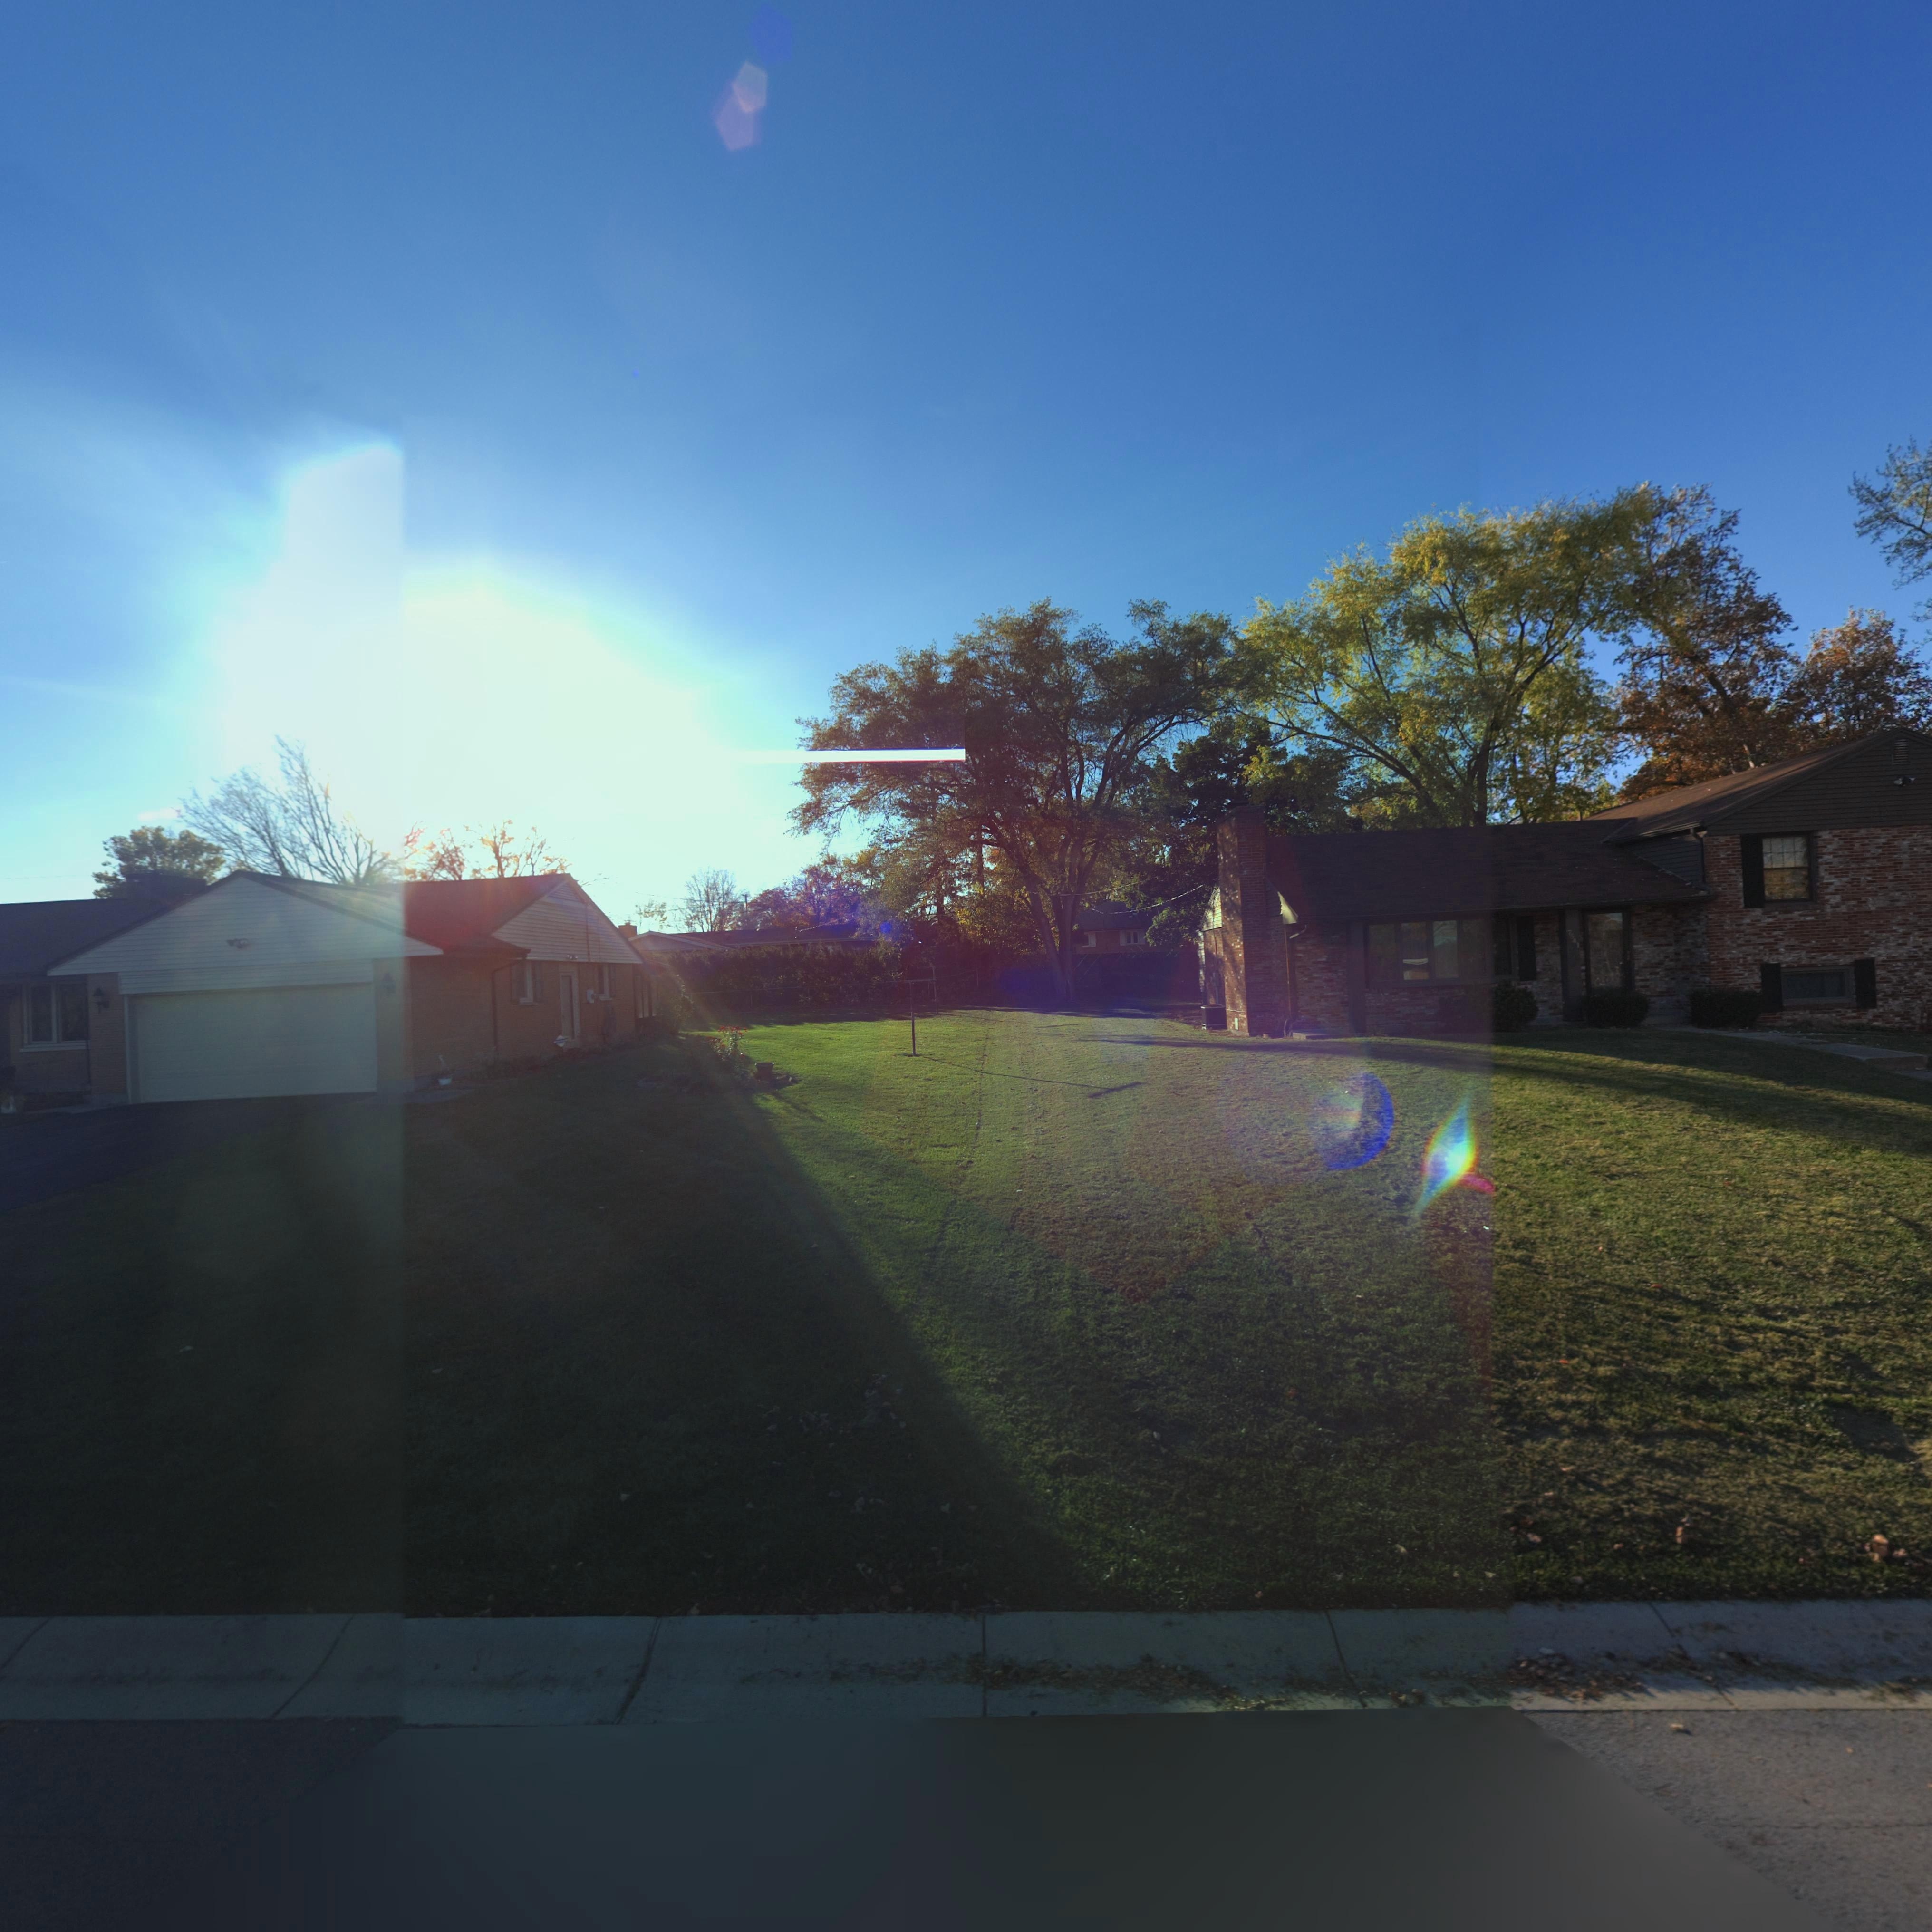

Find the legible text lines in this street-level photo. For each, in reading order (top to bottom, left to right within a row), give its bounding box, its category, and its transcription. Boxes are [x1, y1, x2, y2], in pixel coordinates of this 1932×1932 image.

[1566, 929, 1581, 949] StreetNumber: 7541